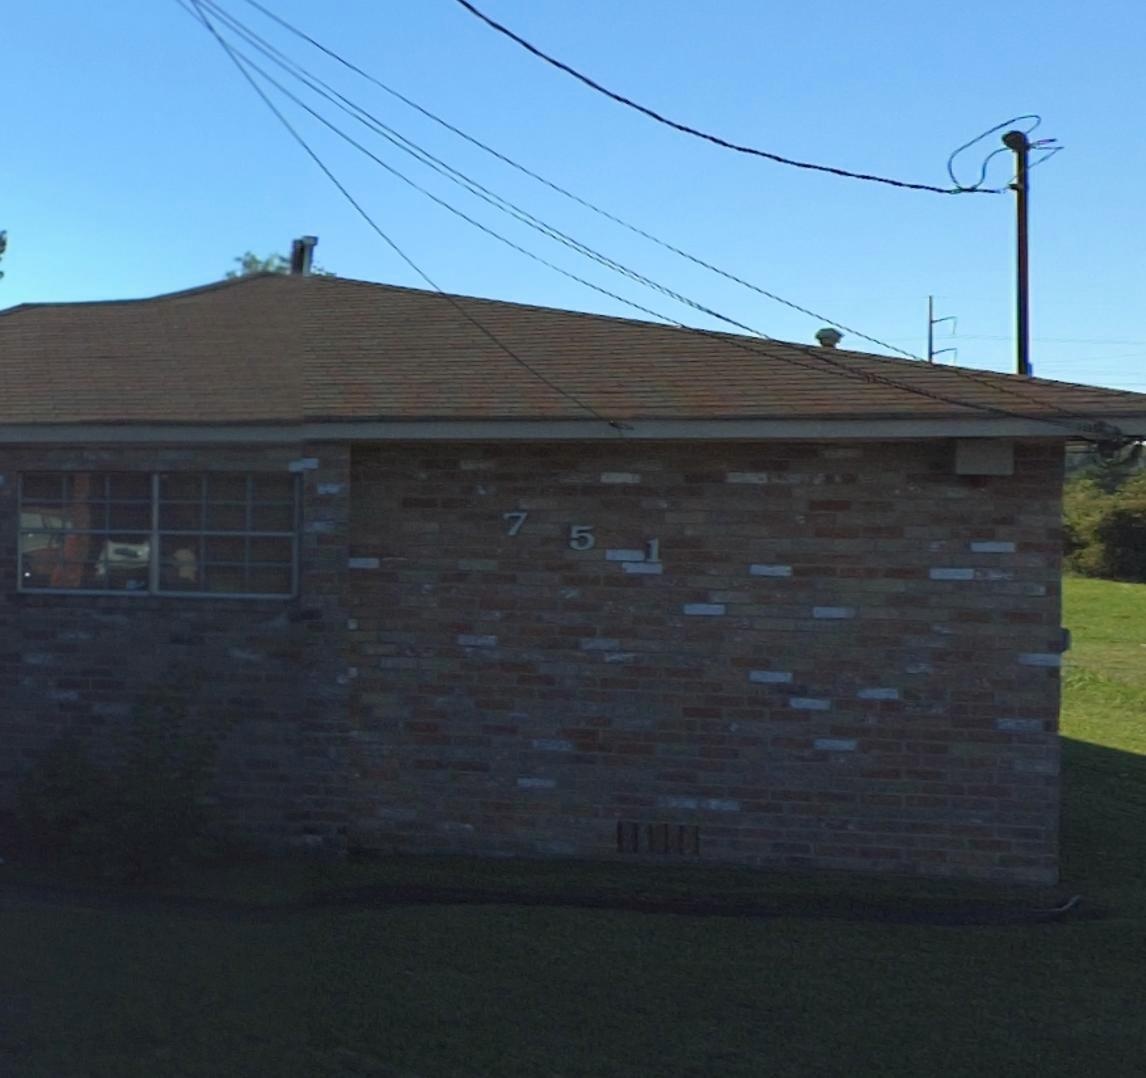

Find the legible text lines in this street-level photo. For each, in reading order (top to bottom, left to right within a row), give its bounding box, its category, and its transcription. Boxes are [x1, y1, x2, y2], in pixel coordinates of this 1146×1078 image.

[502, 511, 663, 564] StreetNumber: 751